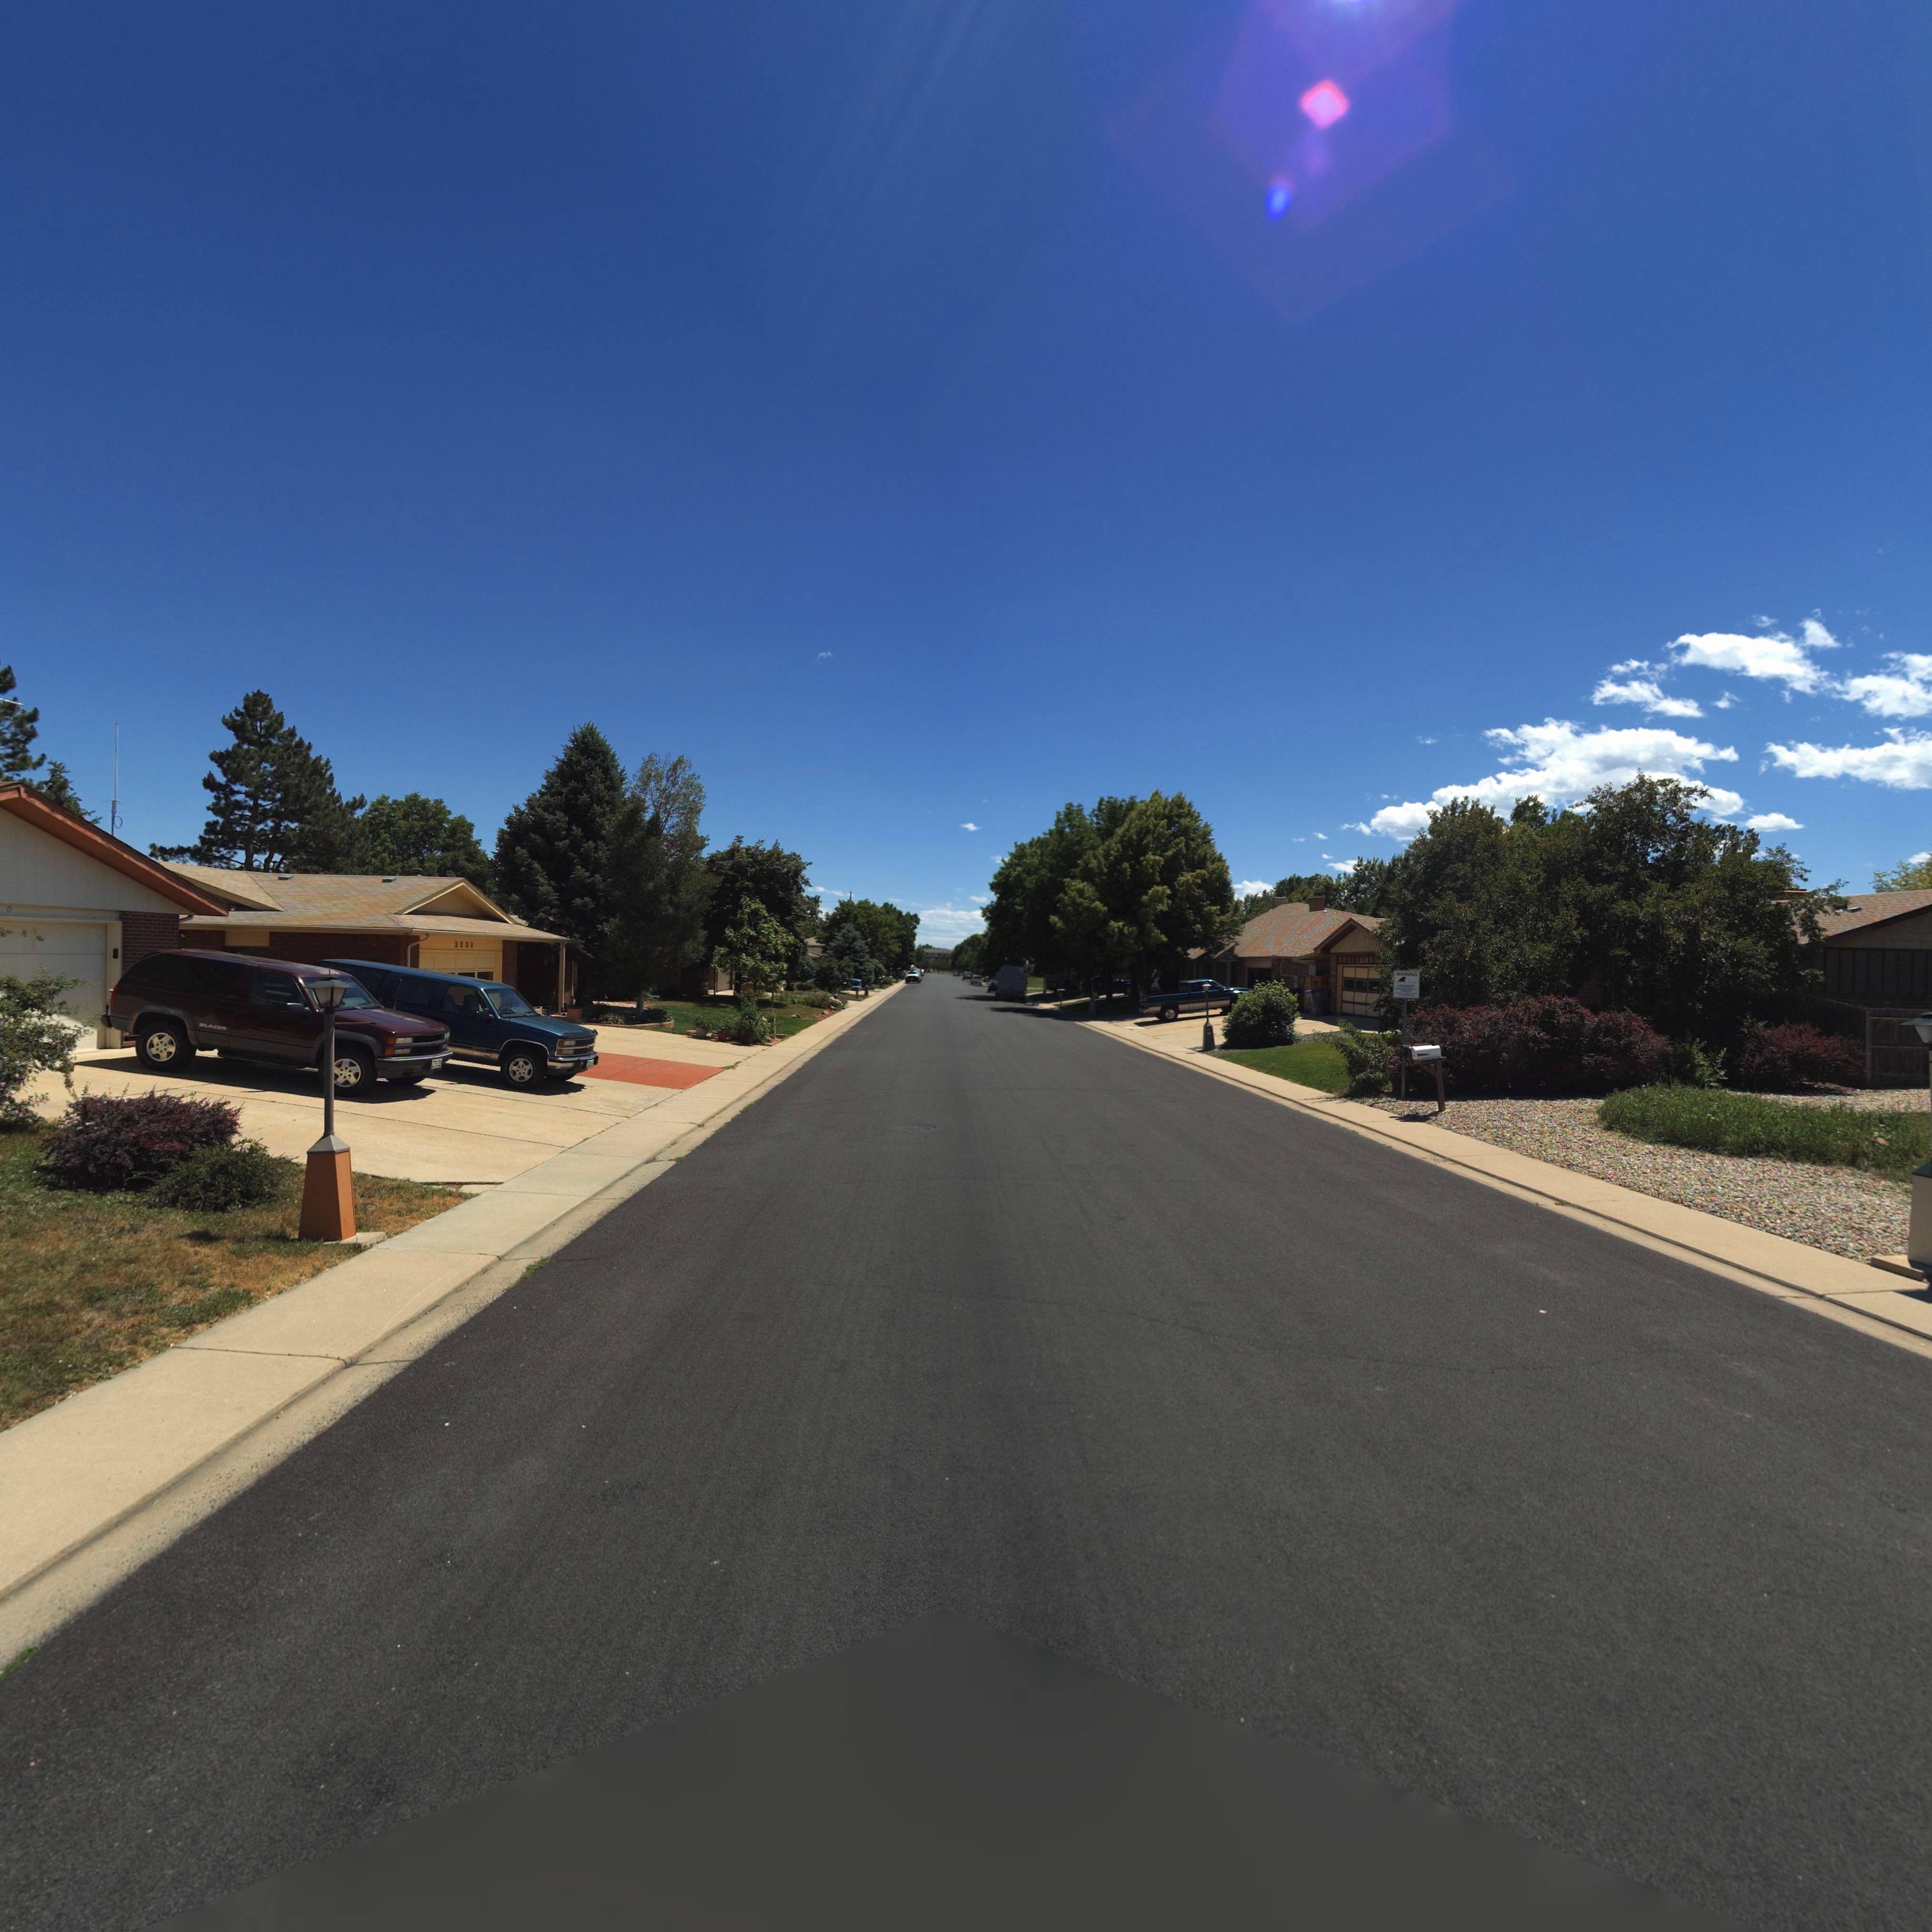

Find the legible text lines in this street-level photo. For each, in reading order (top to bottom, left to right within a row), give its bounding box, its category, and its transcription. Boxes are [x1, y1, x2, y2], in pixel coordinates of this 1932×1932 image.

[454, 941, 473, 947] StreetNumber: 2232
[1359, 958, 1368, 963] StreetNumber: 22*3